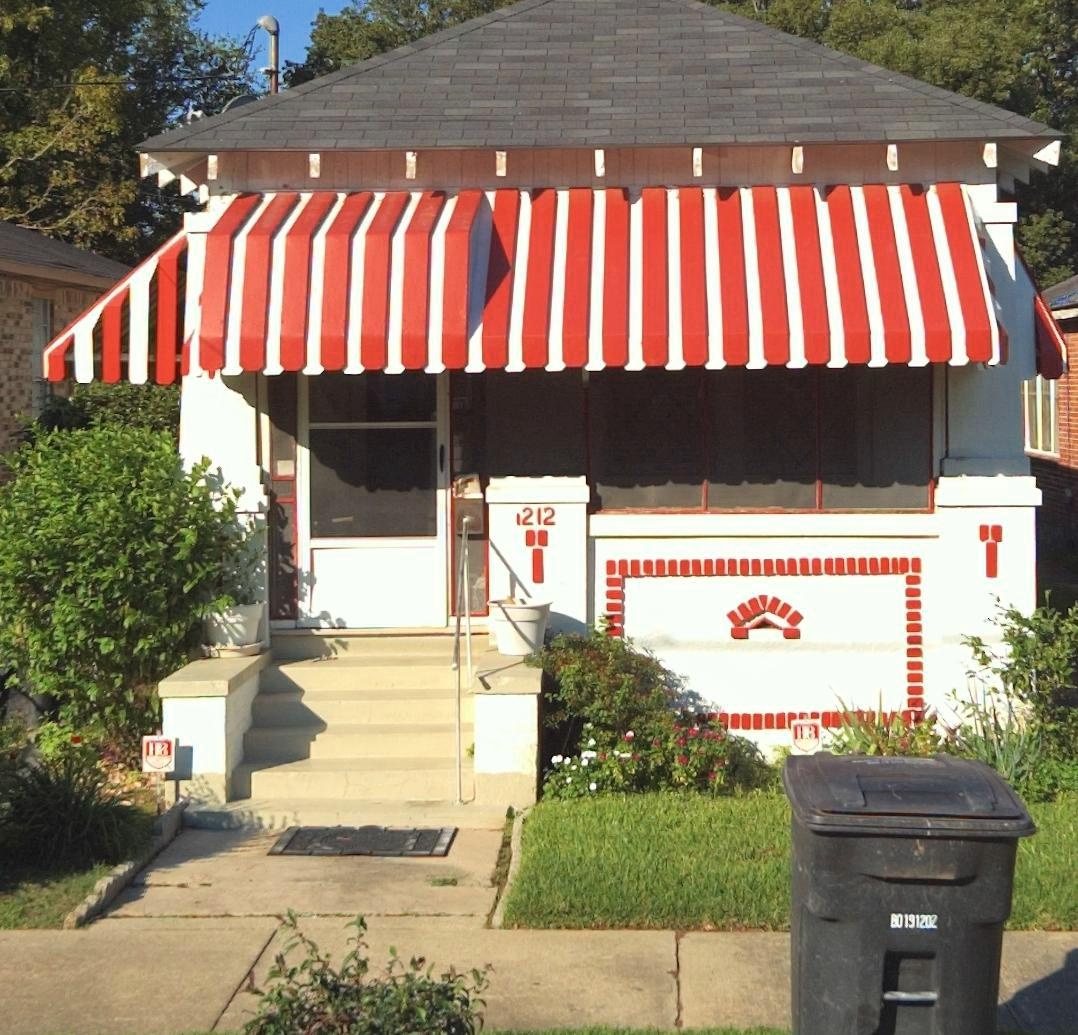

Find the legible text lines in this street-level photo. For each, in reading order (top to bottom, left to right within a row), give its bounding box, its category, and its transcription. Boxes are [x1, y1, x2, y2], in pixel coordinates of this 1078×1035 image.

[520, 504, 560, 529] StreetNumber: 212
[888, 910, 940, 932] None: B0191202